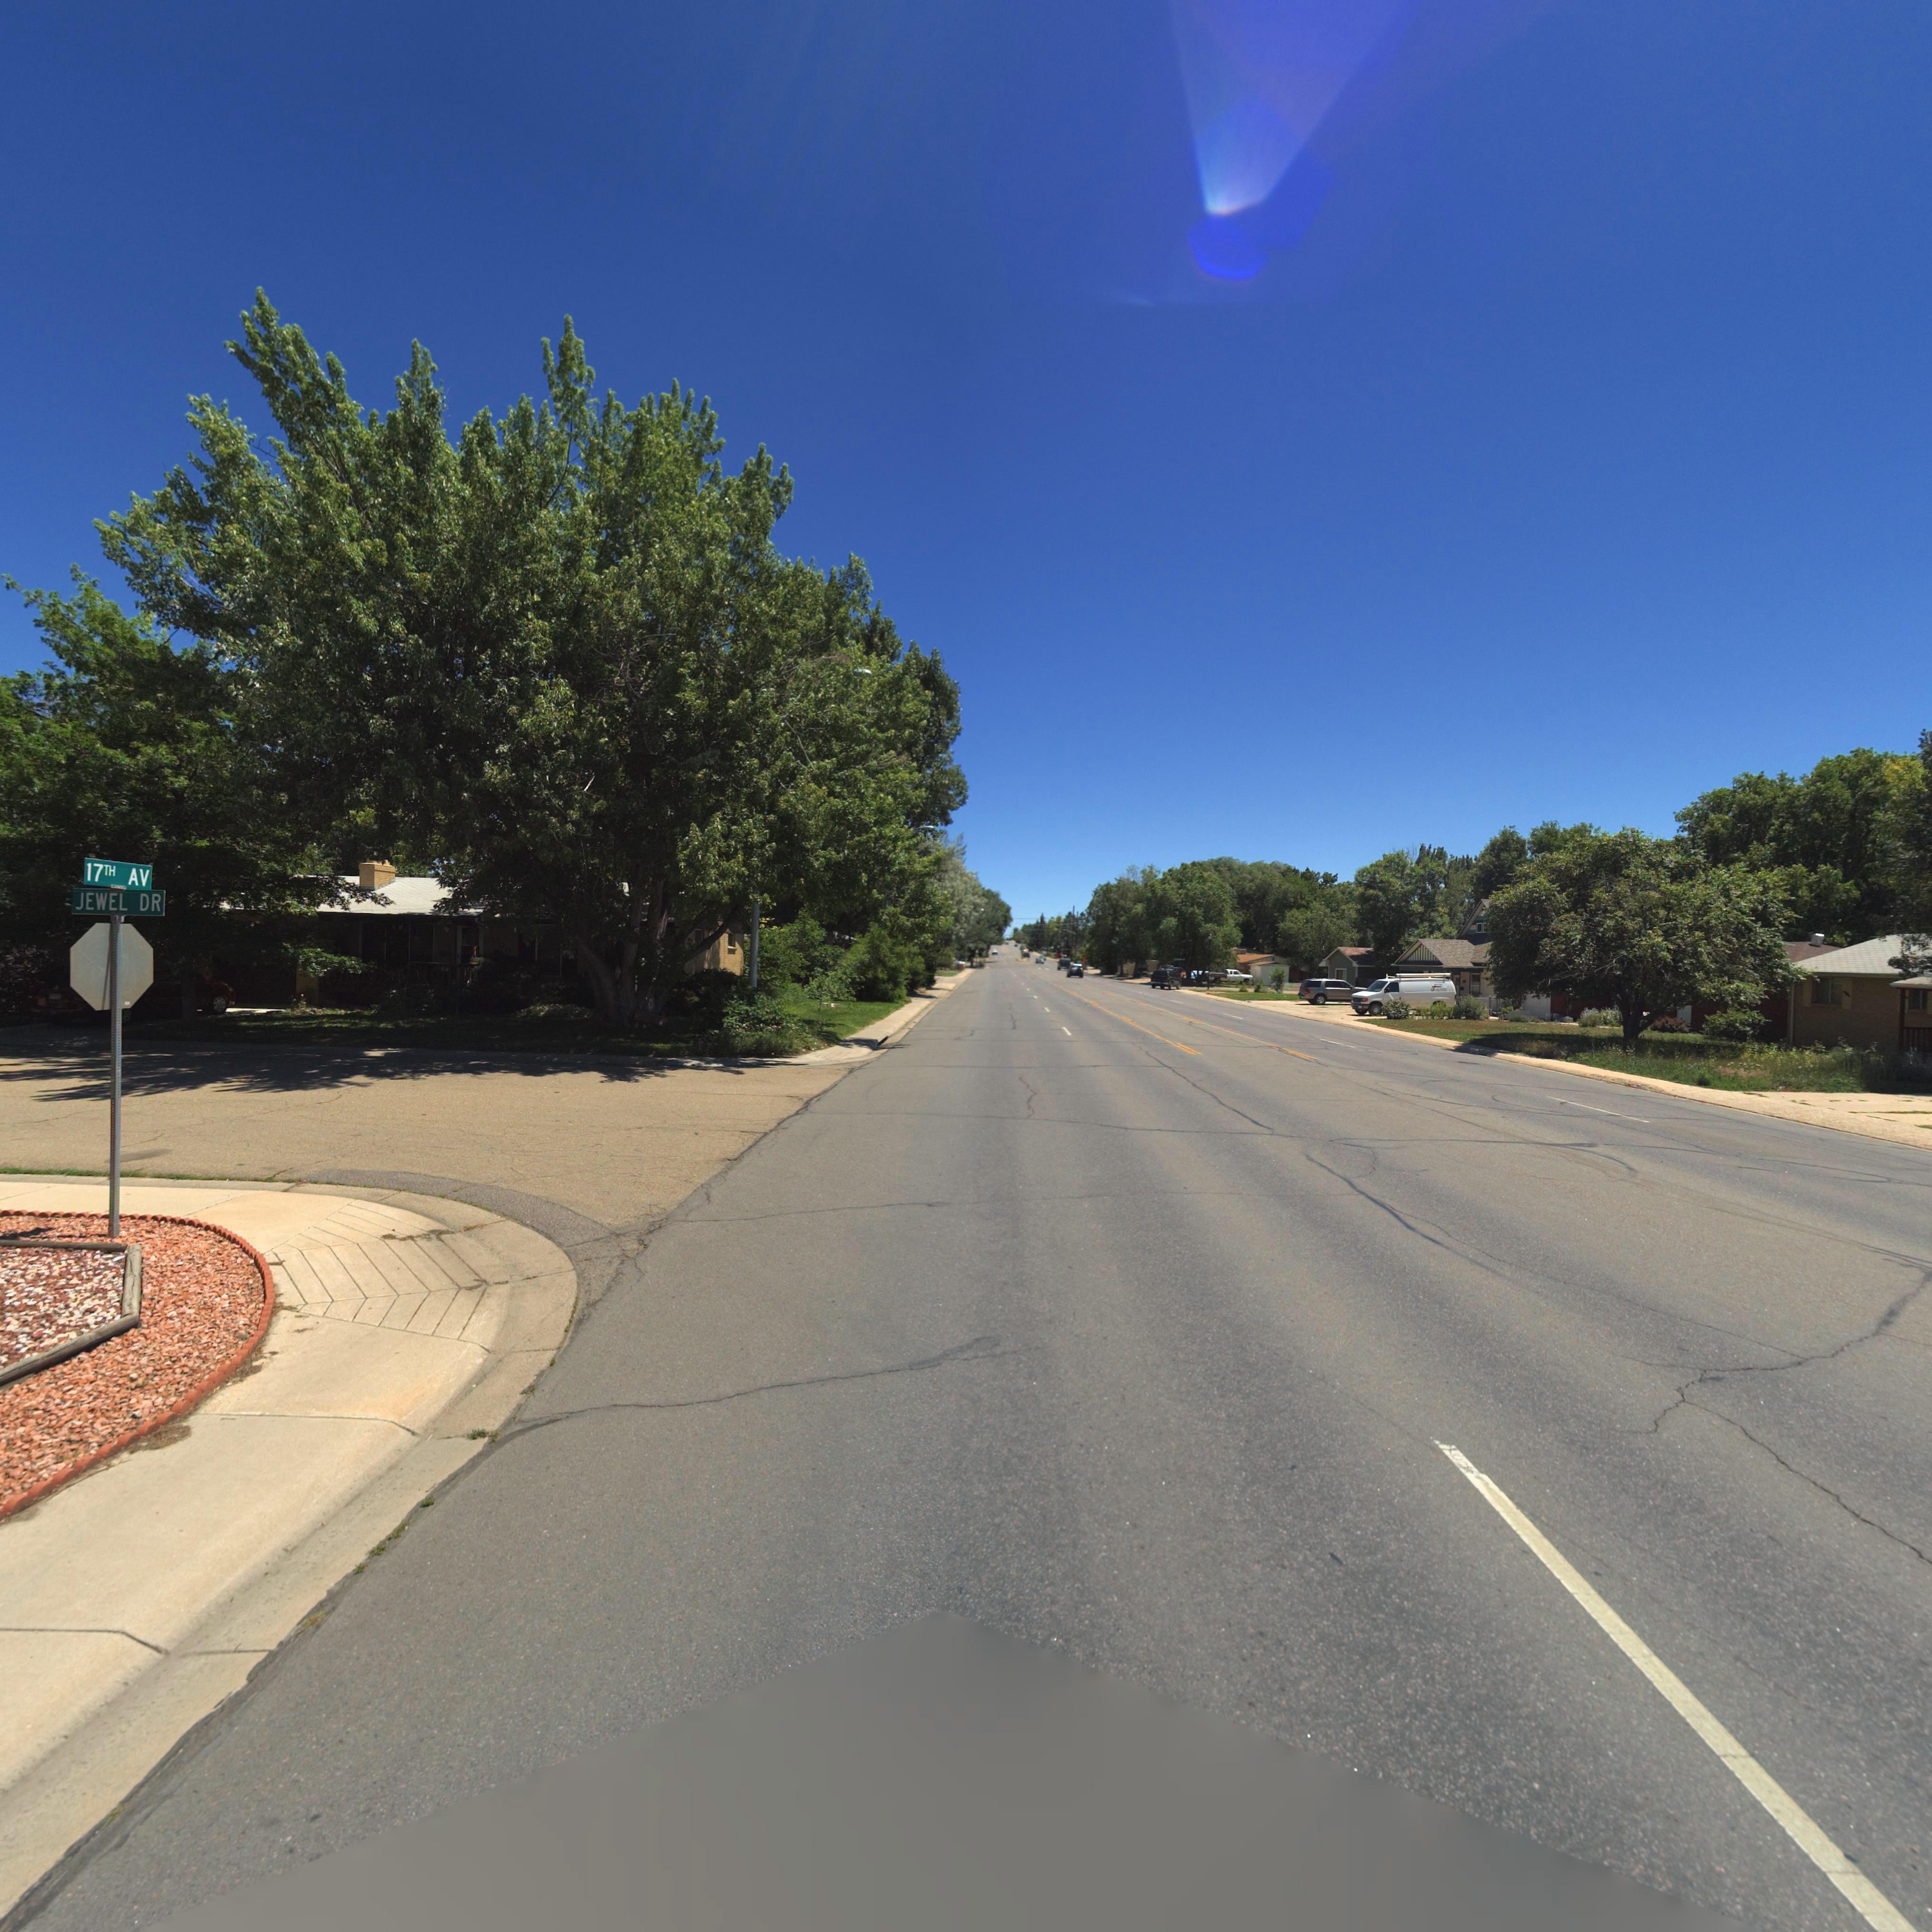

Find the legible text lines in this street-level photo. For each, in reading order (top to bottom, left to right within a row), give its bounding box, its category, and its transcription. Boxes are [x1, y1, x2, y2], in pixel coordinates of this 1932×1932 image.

[87, 862, 150, 887] StreetName: 17TH AV
[74, 892, 161, 912] StreetName: JEWEL DR
[491, 936, 512, 953] StreetNumber: 1700